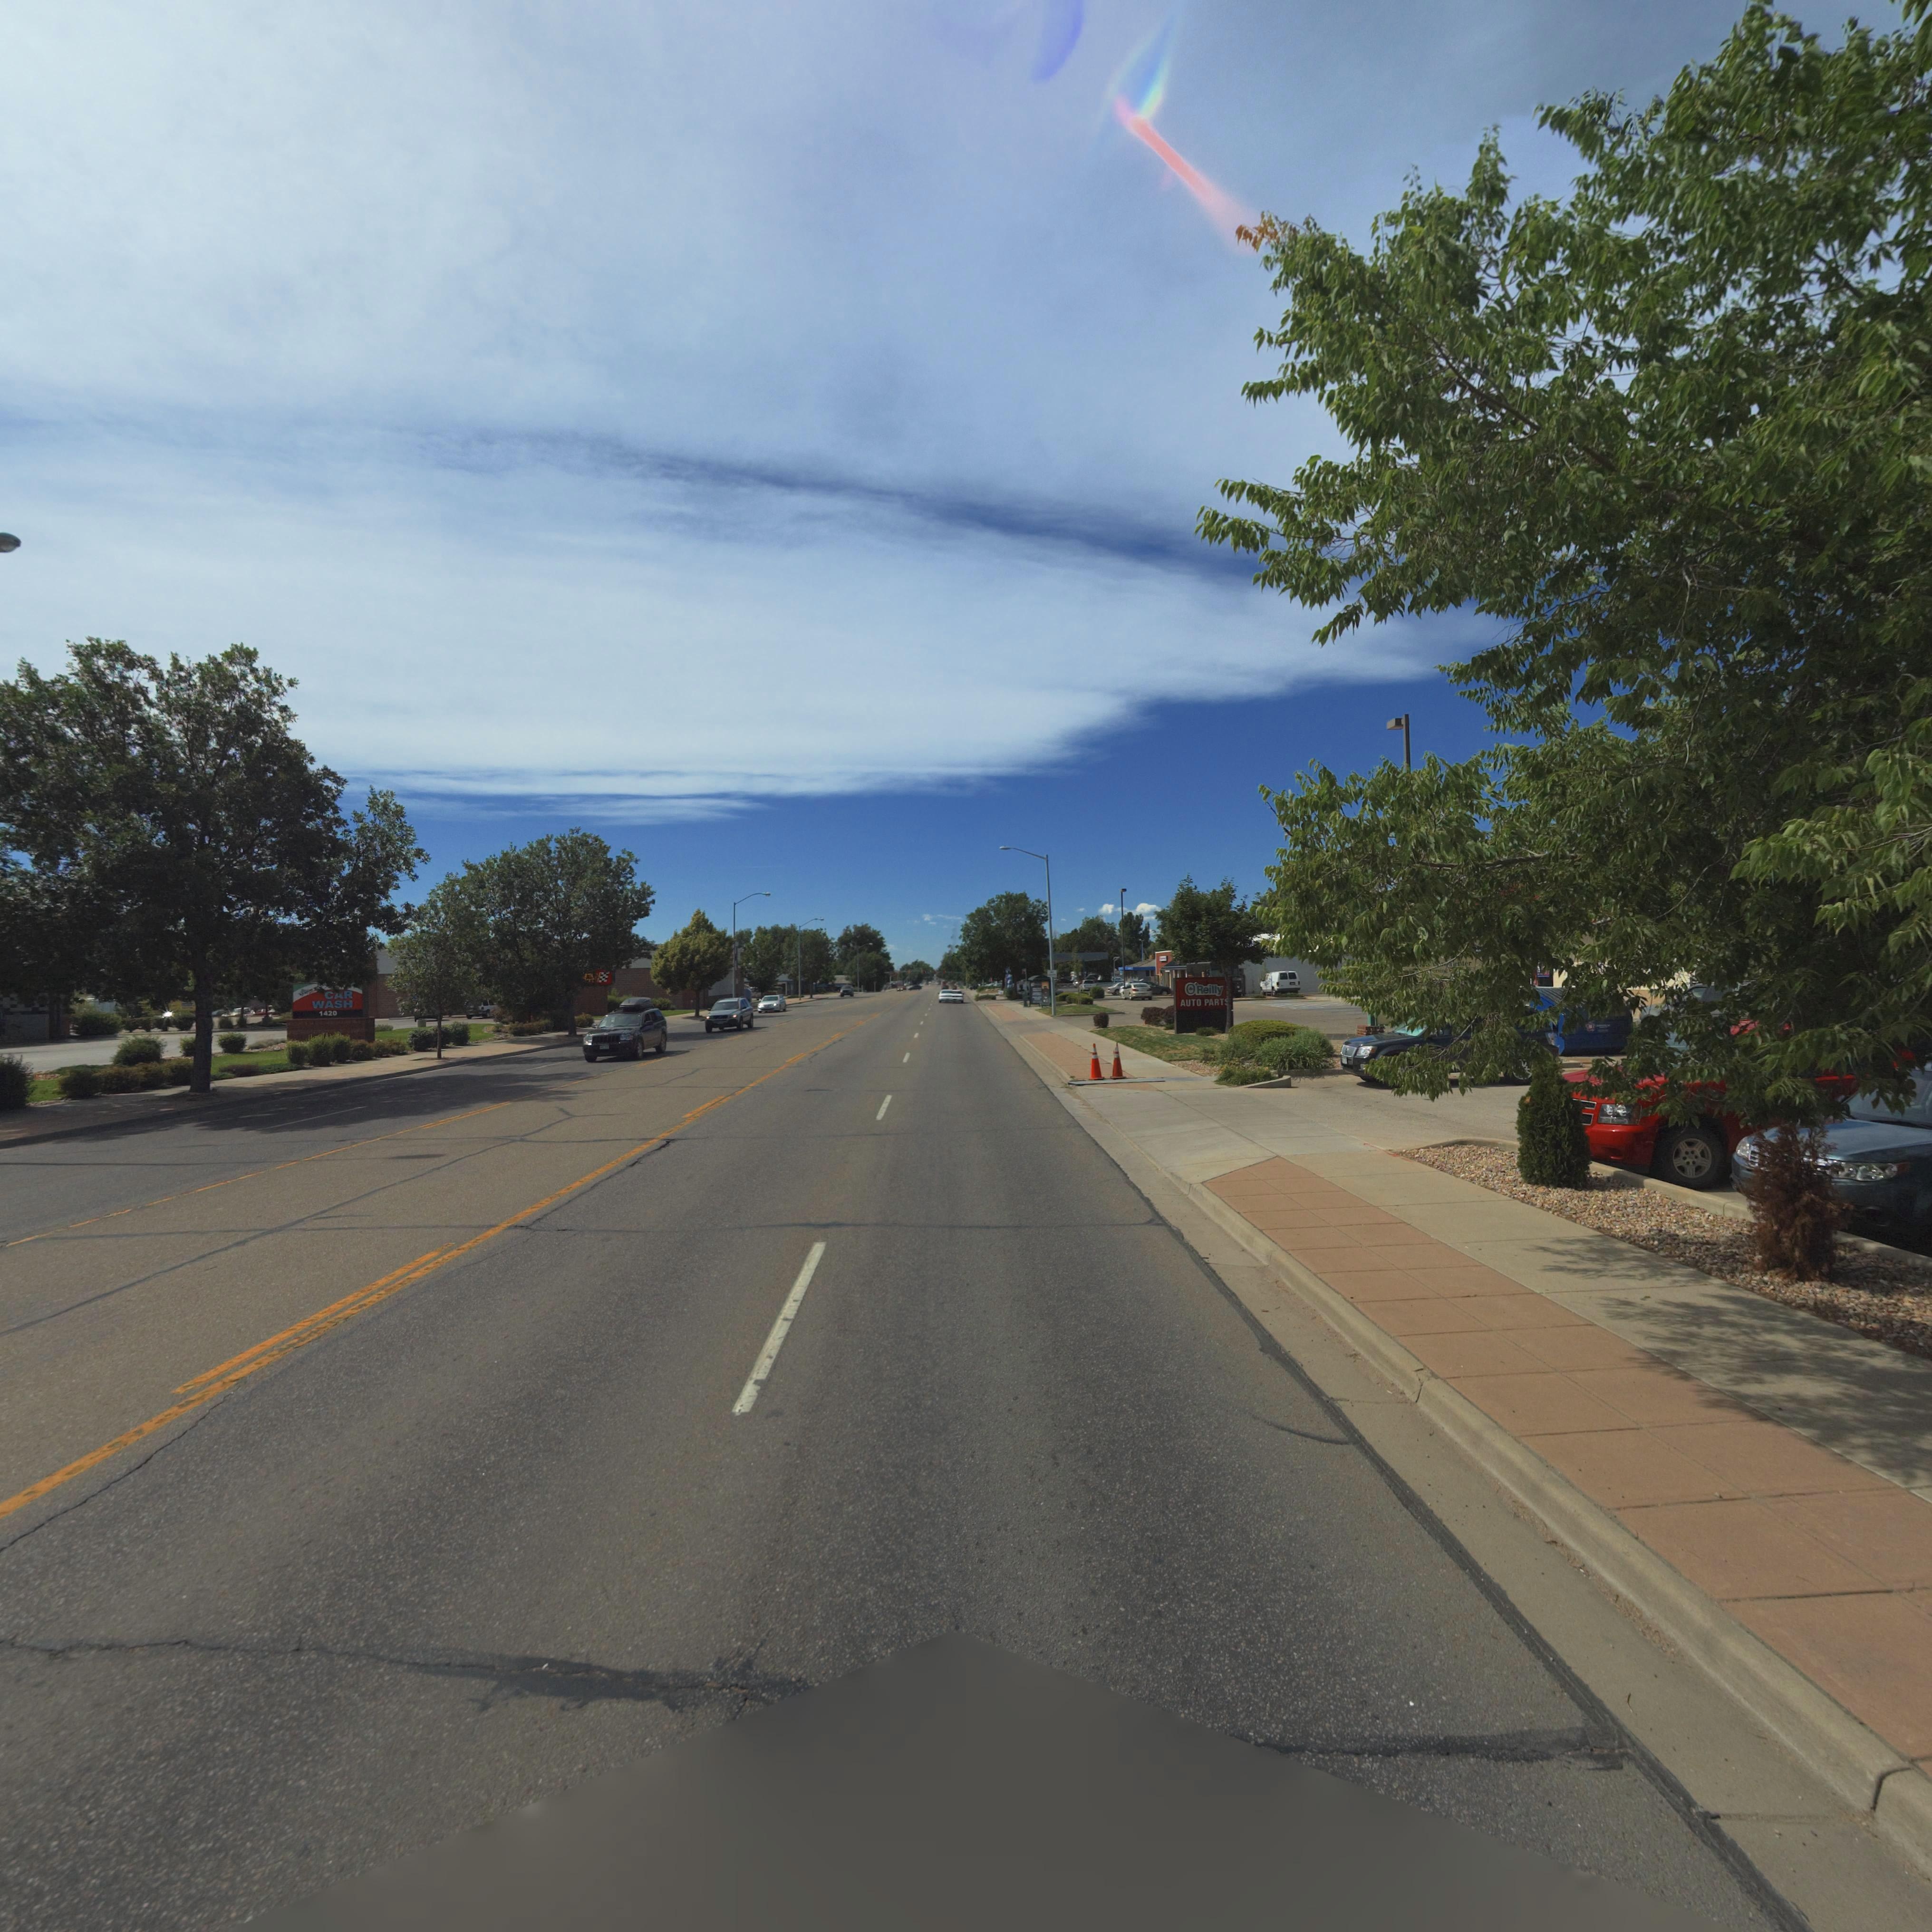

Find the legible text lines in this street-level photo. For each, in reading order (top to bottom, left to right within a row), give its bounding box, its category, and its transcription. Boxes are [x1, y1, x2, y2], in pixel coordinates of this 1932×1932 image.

[1185, 982, 1223, 995] BusinessName: O'Reilly
[1179, 998, 1224, 1006] StreetNumber: AUTO PARTS
[318, 1010, 337, 1016] StreetNumber: 1420